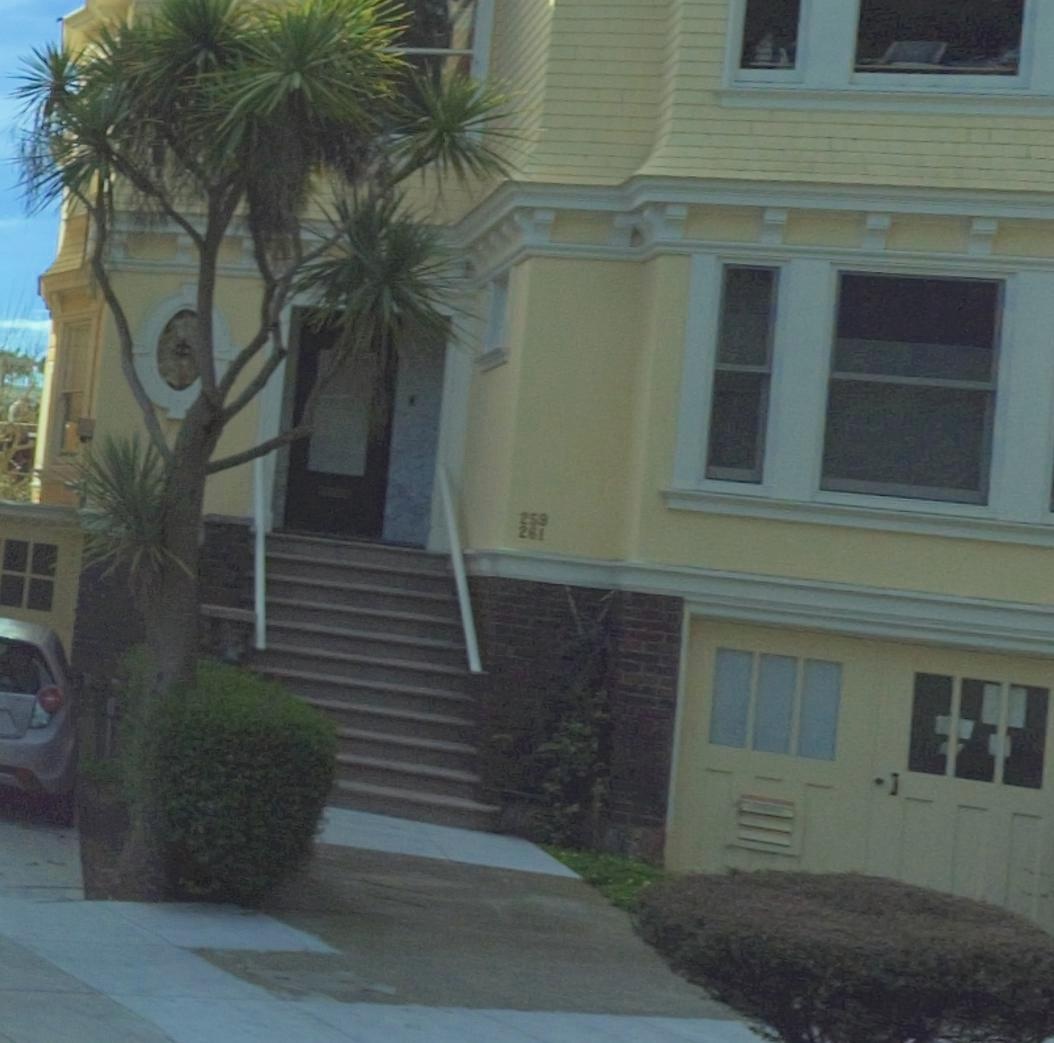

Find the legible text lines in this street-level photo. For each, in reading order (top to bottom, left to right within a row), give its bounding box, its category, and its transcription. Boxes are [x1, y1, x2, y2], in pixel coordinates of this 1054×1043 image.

[517, 510, 551, 527] StreetNumber: 259
[517, 525, 548, 542] StreetNumber: 281